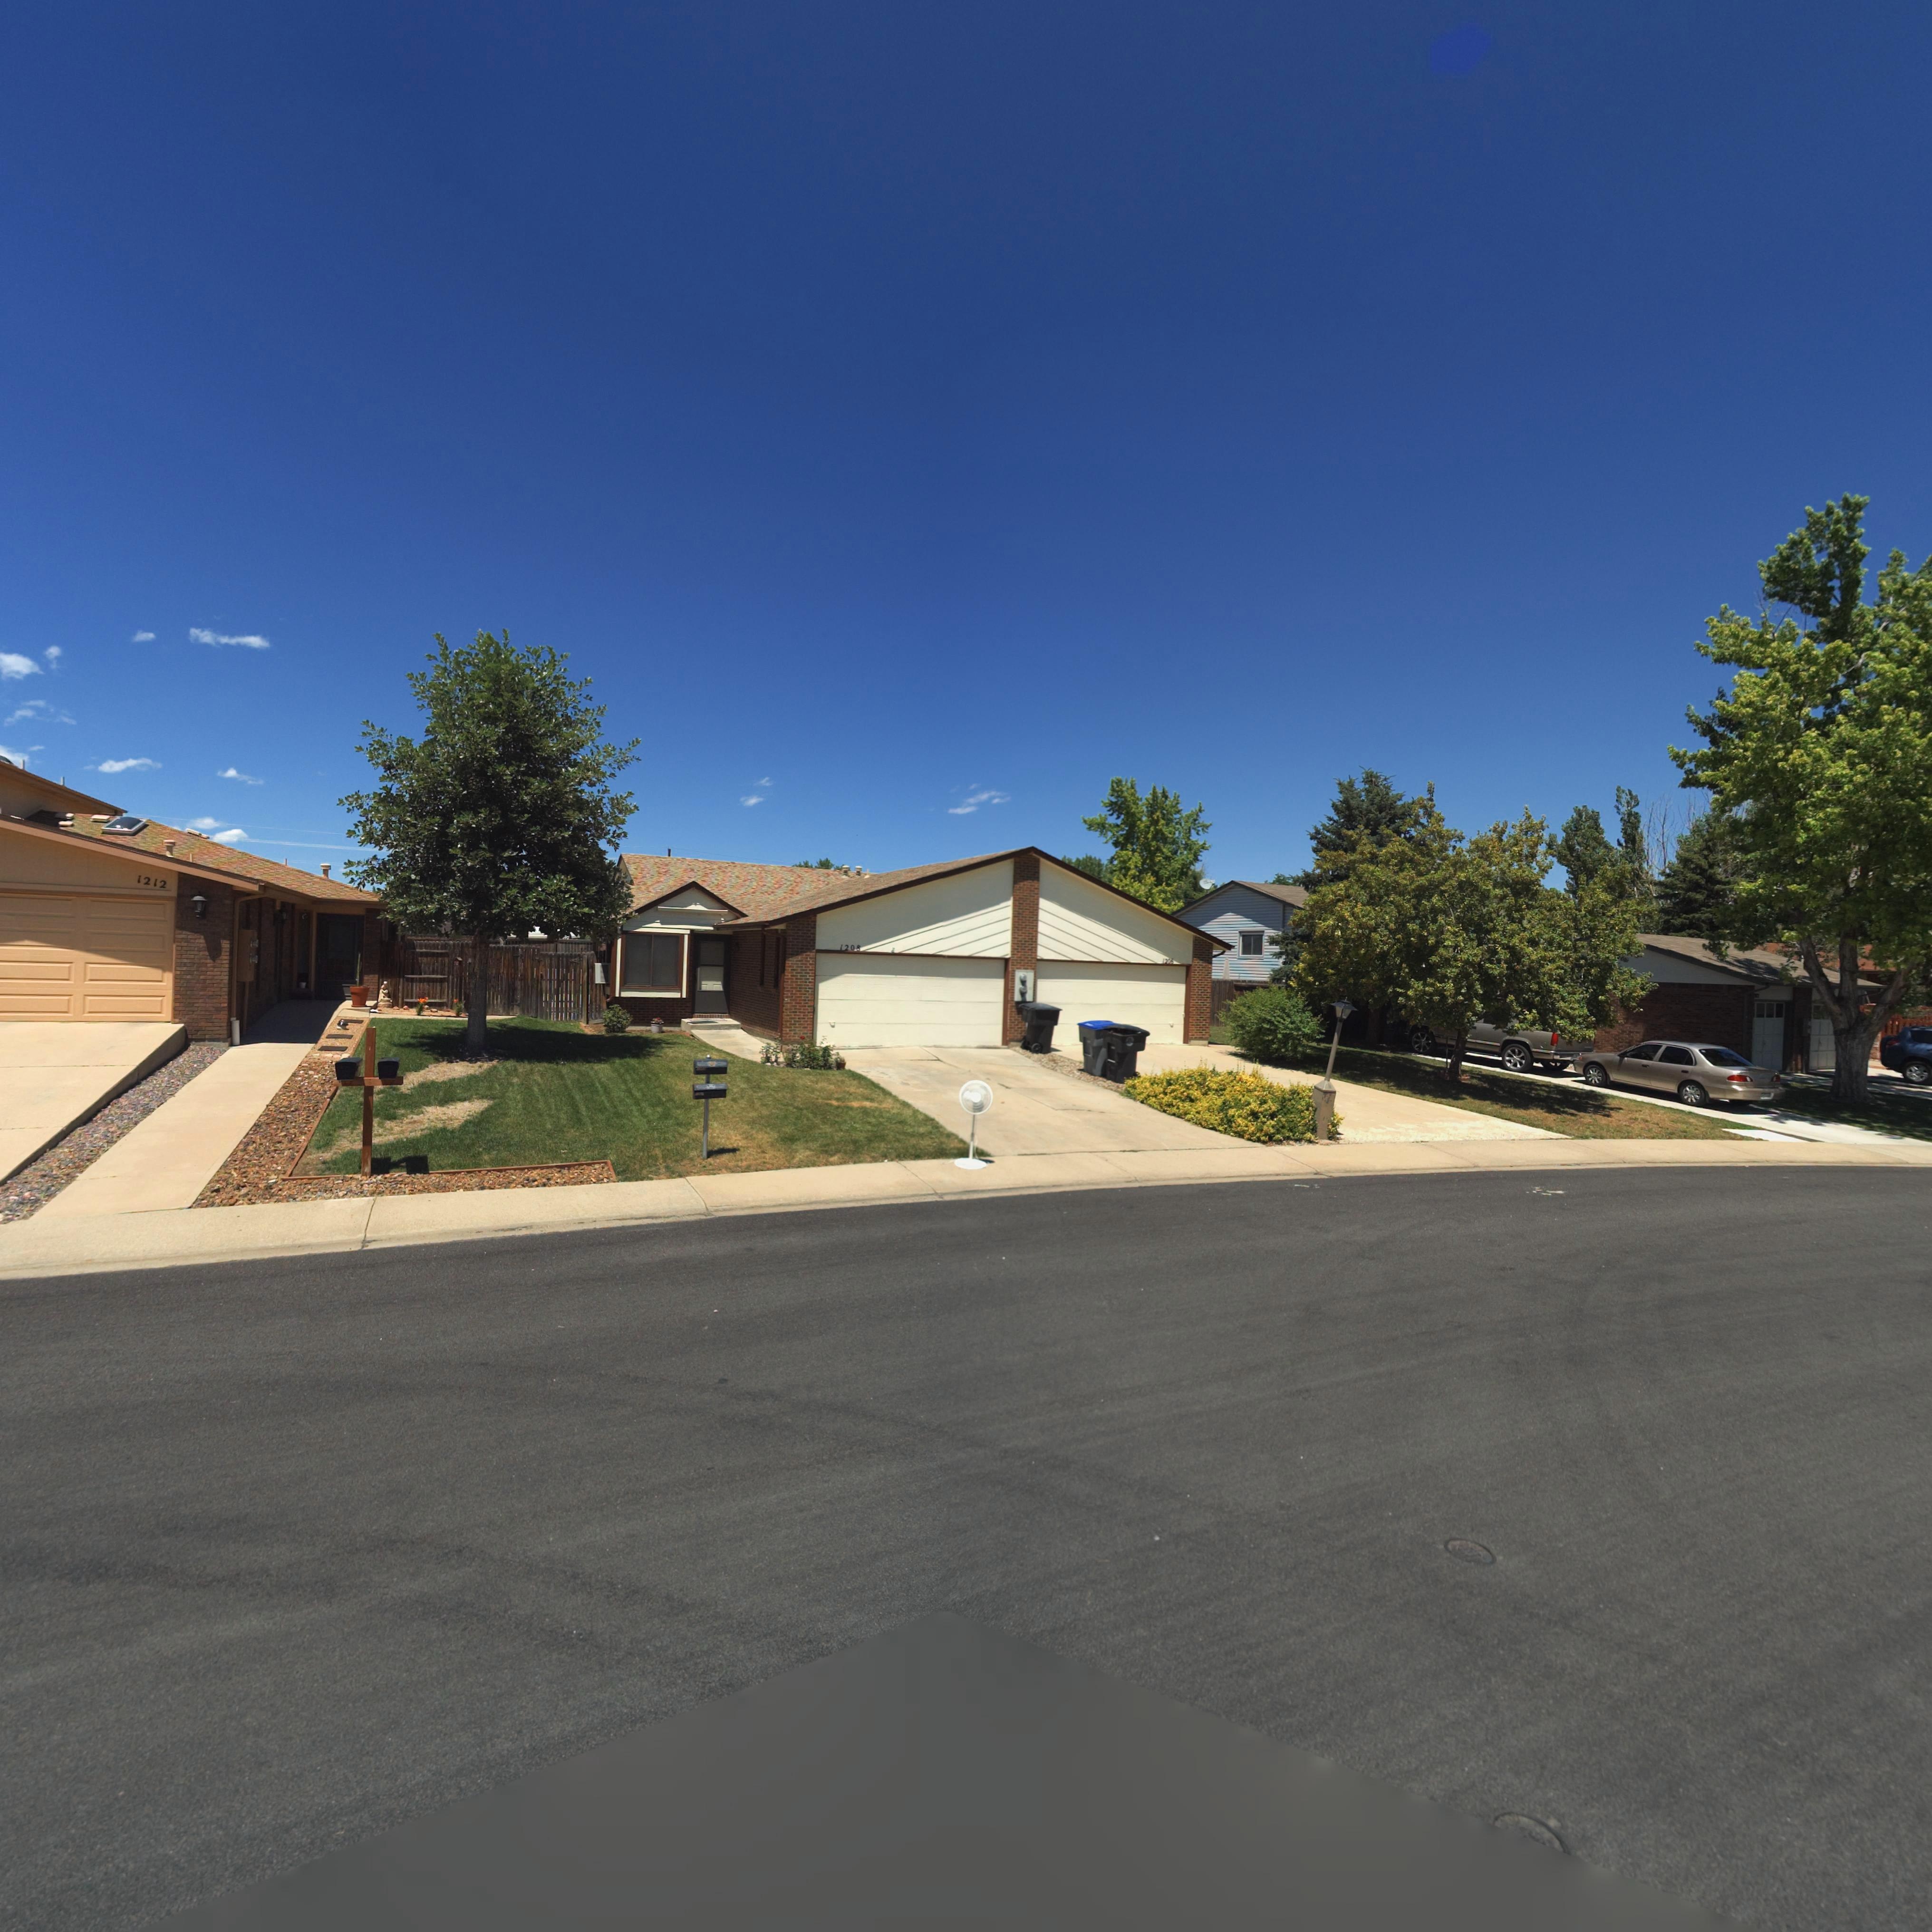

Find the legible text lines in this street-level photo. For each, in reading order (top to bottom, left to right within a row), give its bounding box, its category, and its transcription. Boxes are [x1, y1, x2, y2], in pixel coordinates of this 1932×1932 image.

[136, 875, 167, 889] StreetNumber: 1212
[840, 944, 860, 951] StreetNumber: 1208
[1162, 957, 1173, 964] StreetNumber: 1206